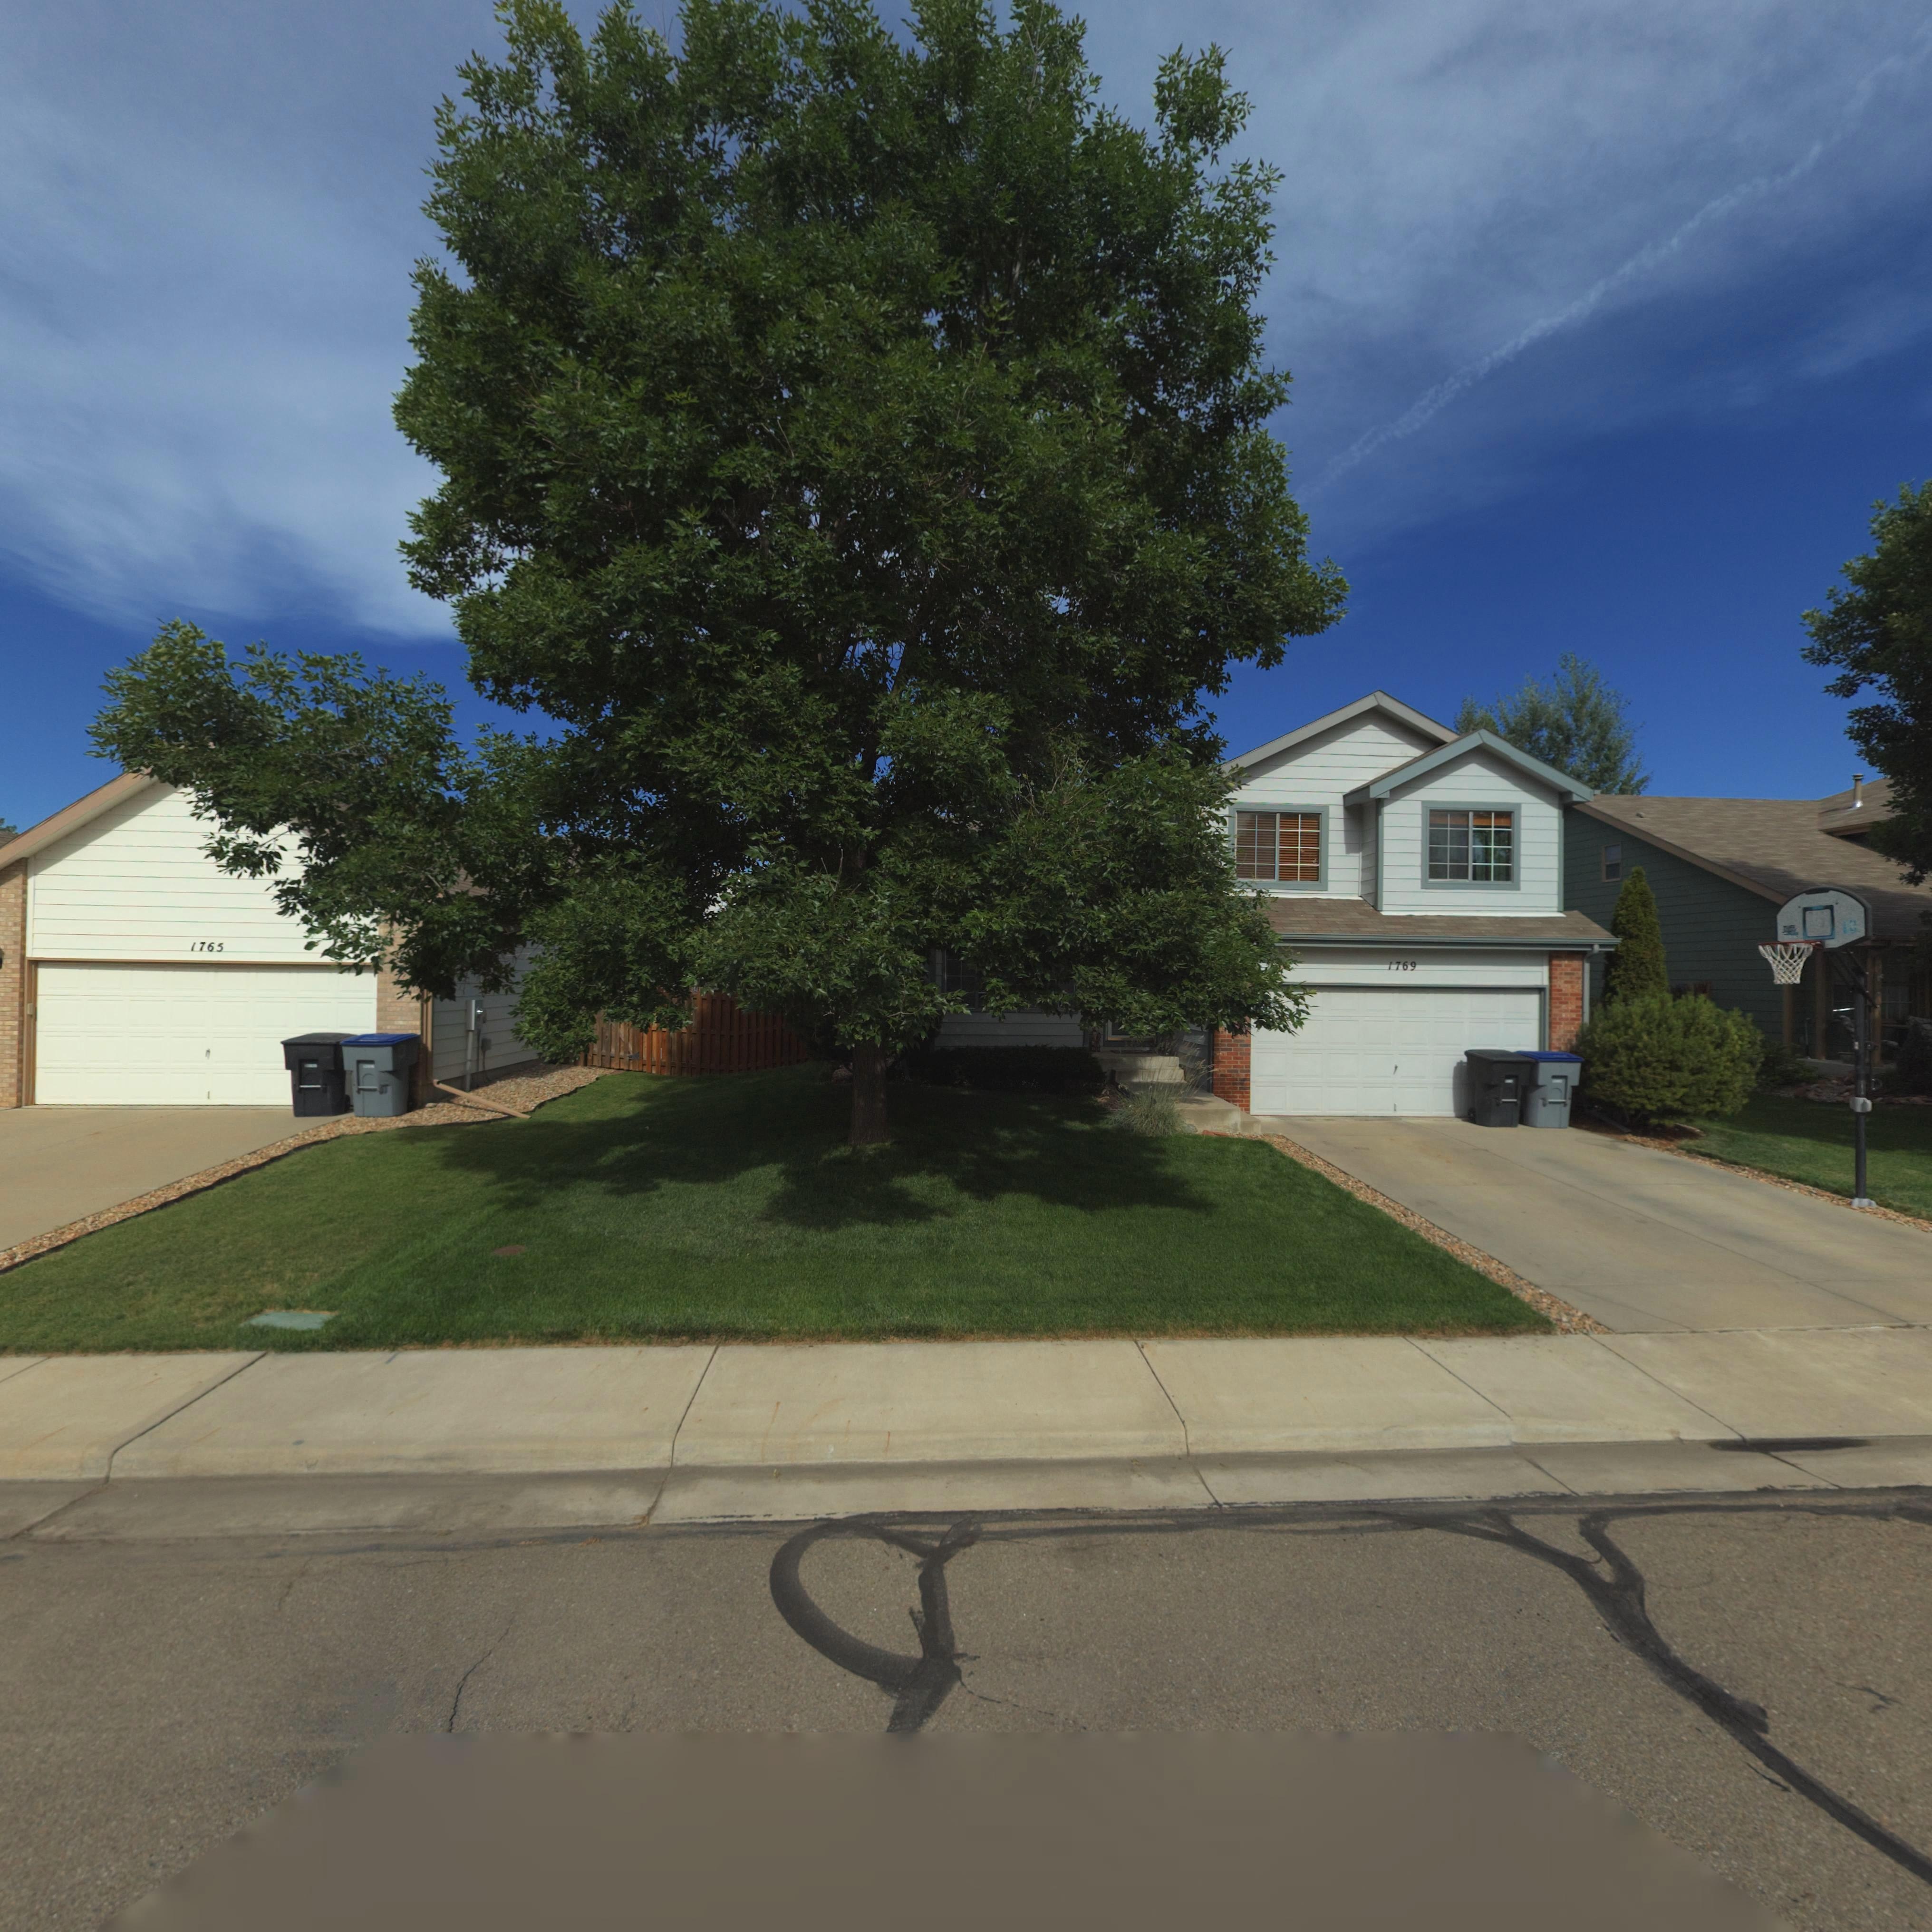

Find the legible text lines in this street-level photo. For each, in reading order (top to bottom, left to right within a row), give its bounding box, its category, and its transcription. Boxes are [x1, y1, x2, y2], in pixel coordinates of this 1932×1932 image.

[189, 941, 224, 953] StreetNumber: 1765
[1386, 960, 1416, 971] StreetNumber: 1769